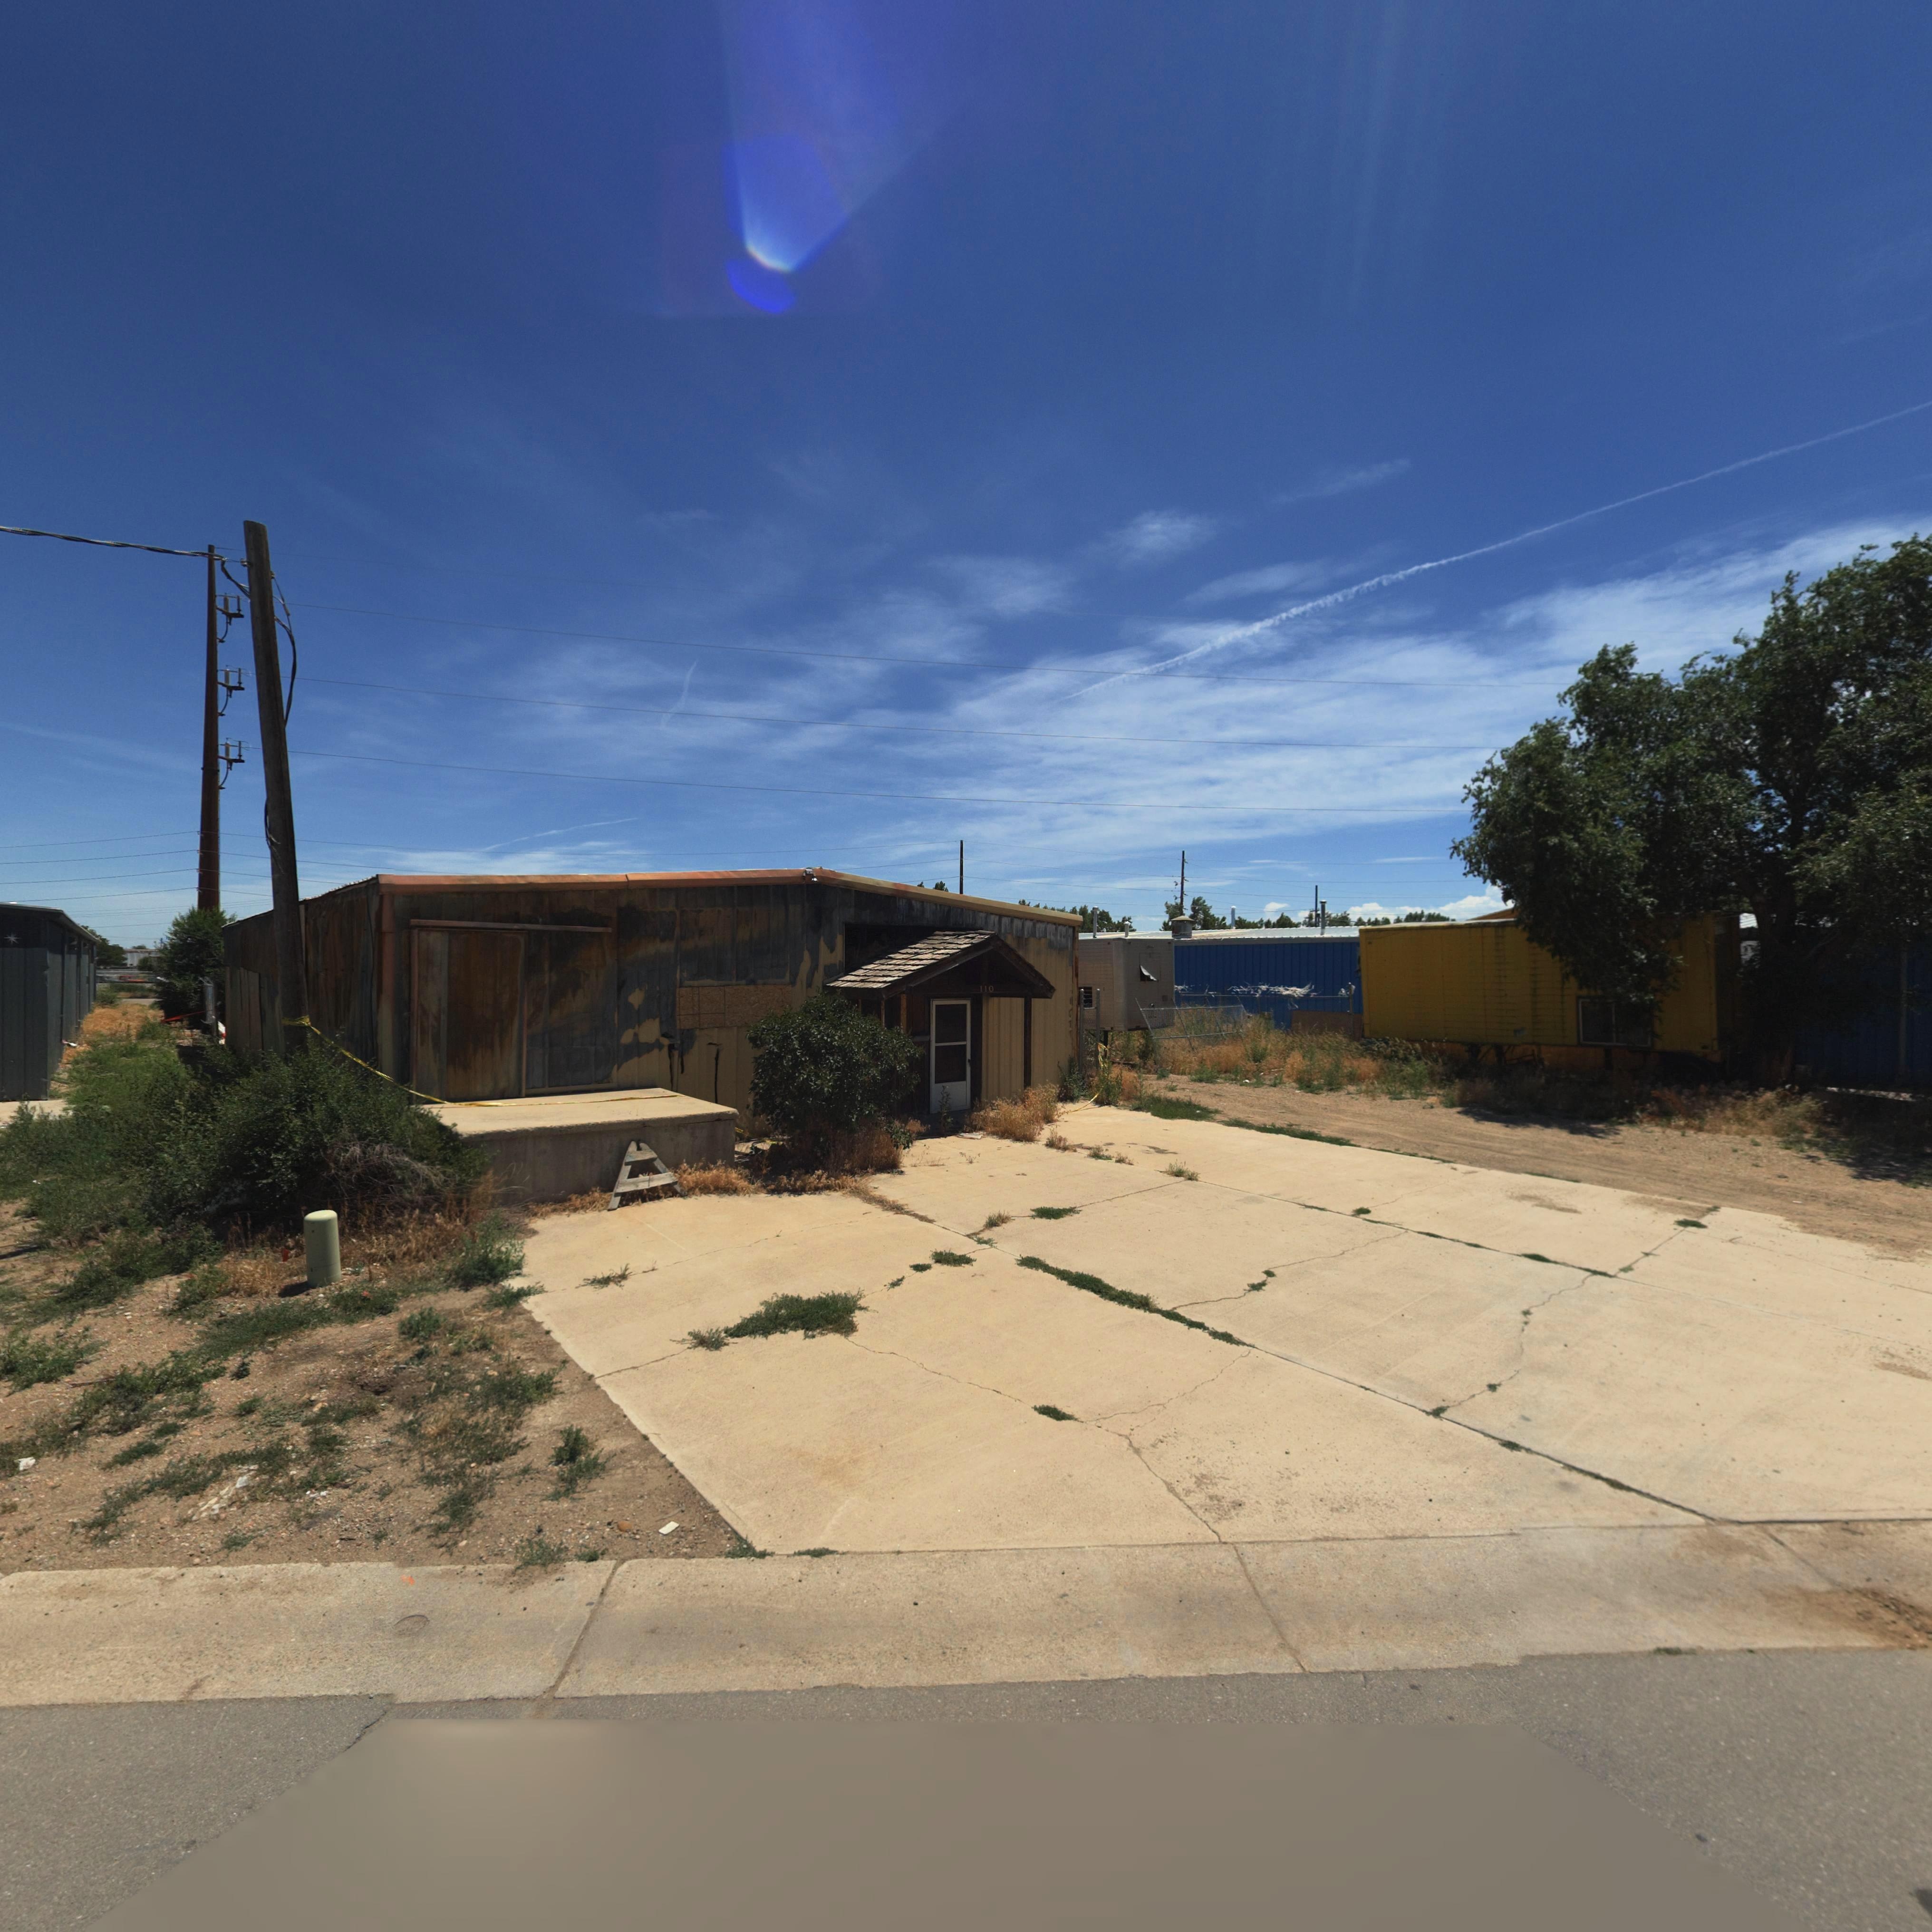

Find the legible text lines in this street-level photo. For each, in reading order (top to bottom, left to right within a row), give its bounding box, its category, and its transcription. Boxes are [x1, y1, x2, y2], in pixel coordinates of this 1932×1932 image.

[979, 985, 994, 992] StreetNumber: 110